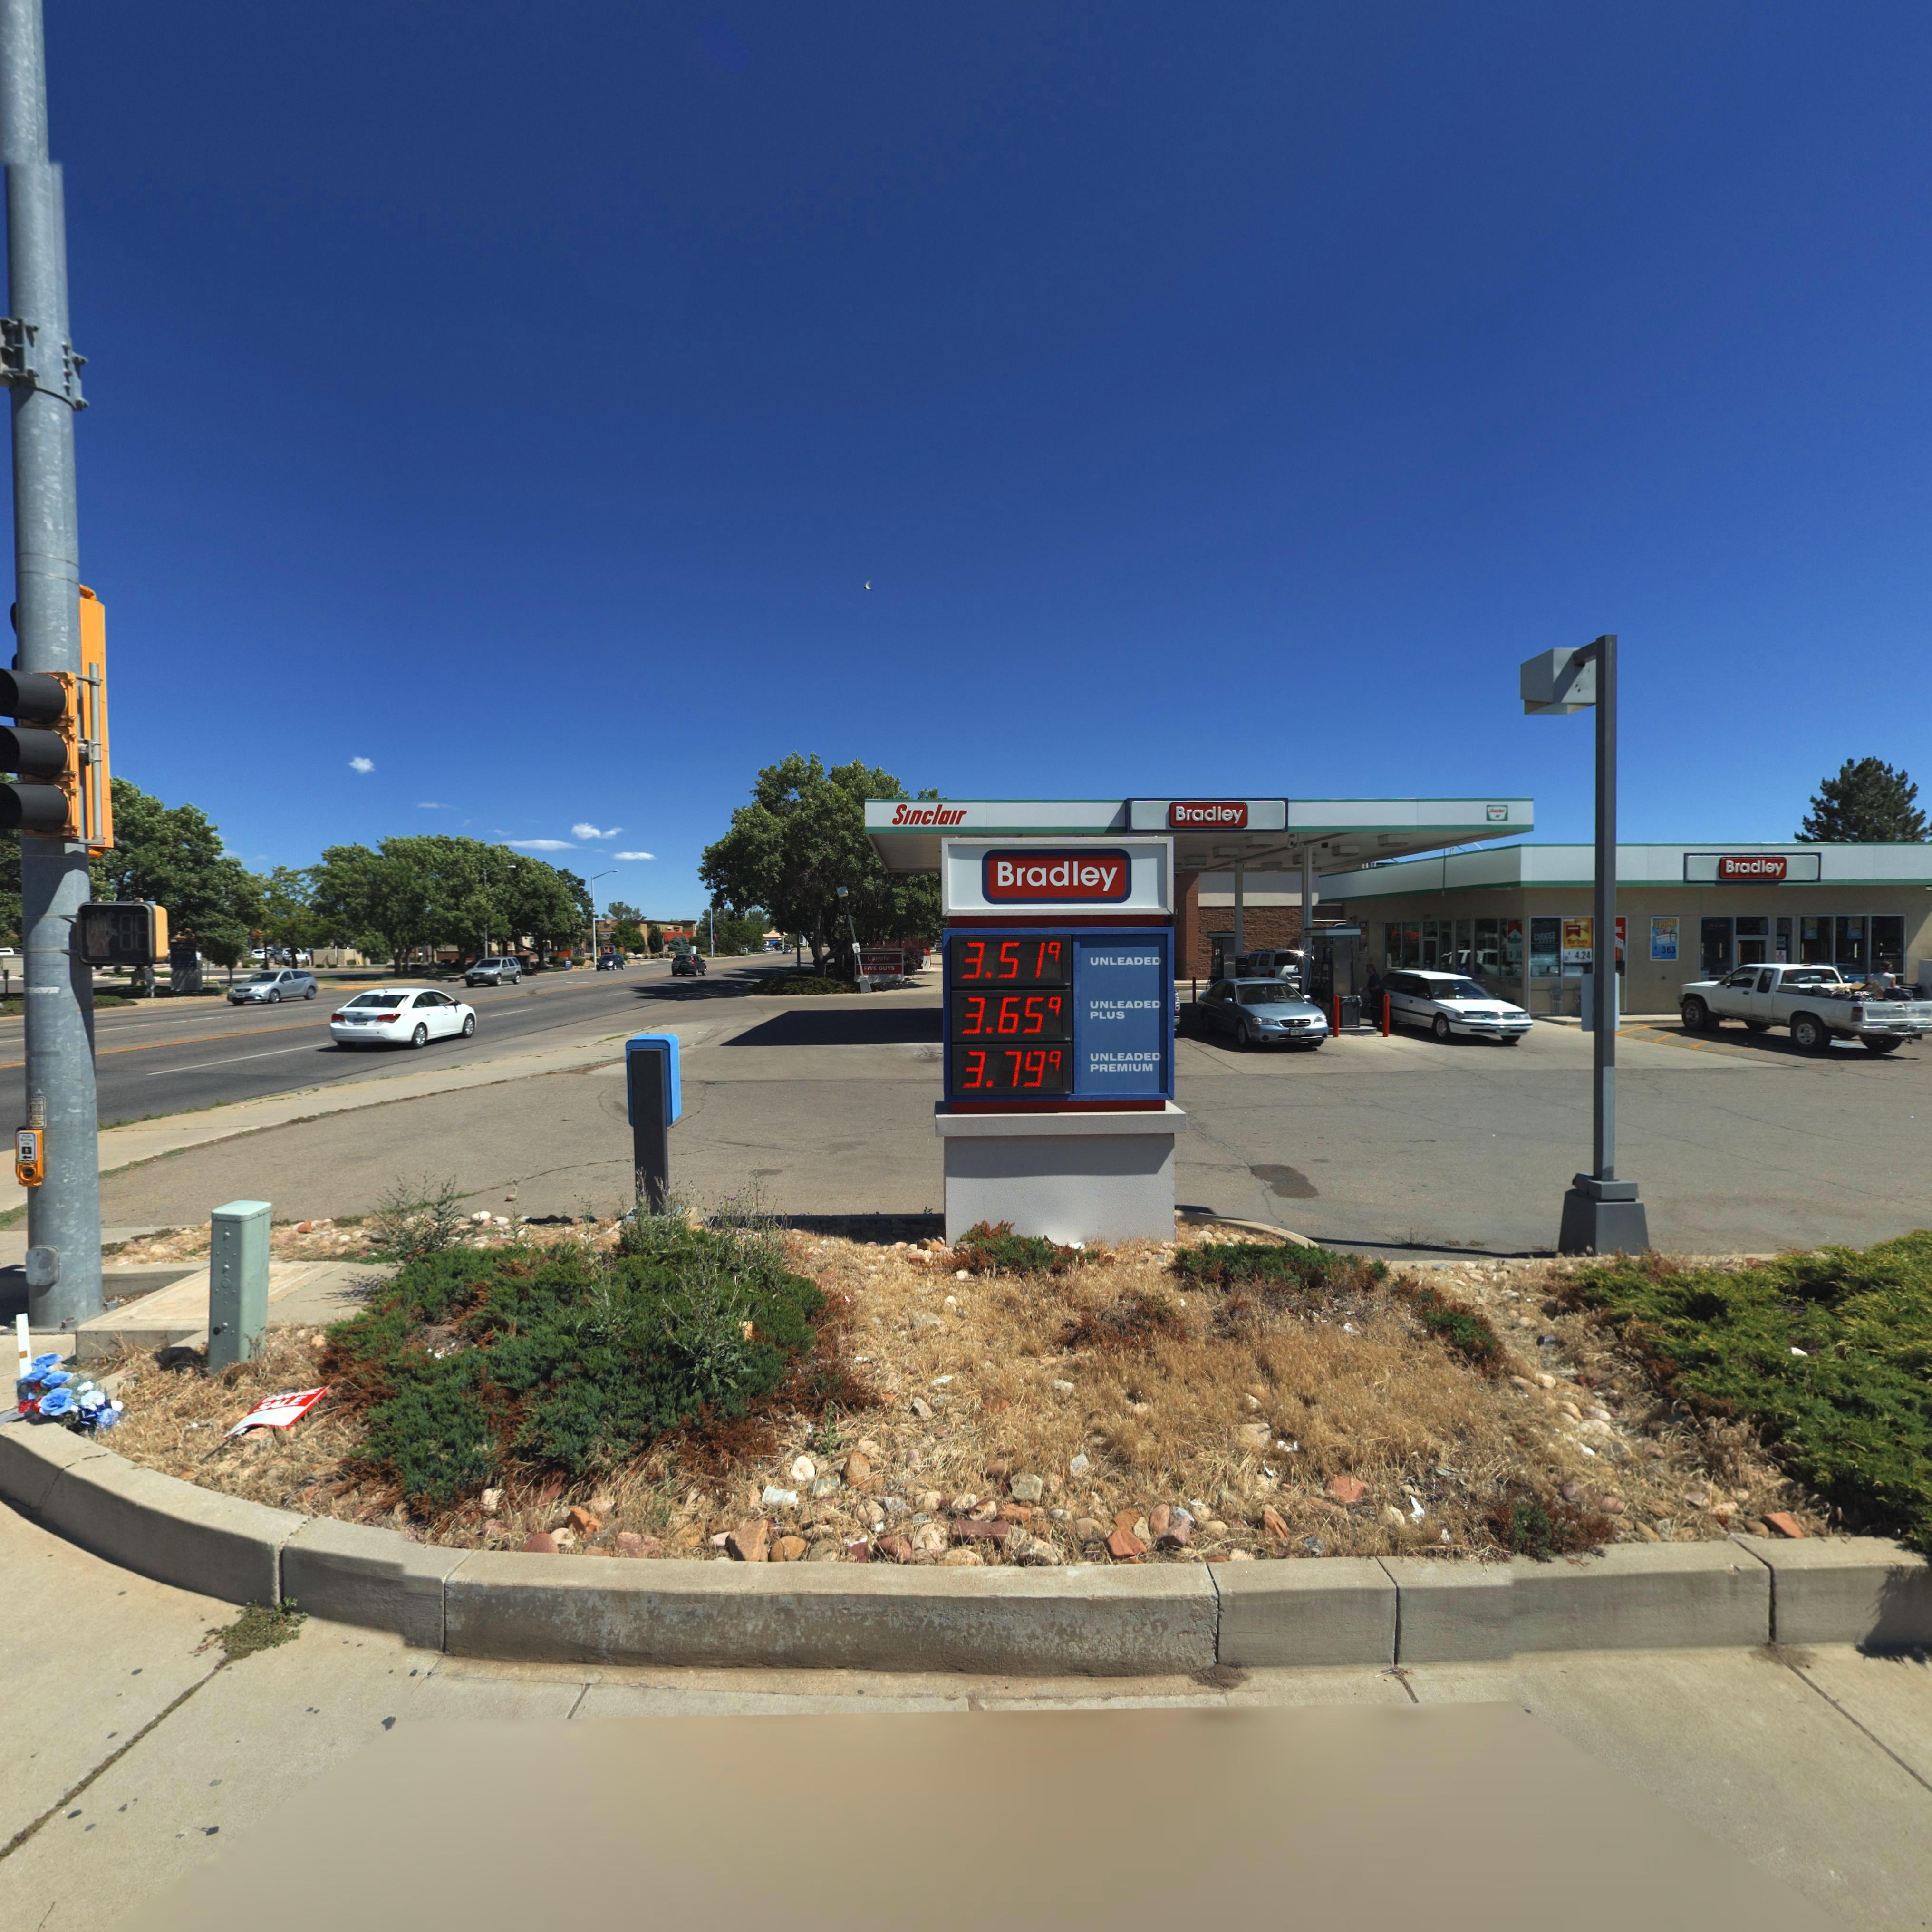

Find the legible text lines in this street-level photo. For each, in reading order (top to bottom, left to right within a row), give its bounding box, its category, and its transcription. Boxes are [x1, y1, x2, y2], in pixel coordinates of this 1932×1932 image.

[891, 803, 967, 826] BusinessName: Sinclair
[1174, 806, 1243, 824] BusinessName: Bradley
[1488, 808, 1505, 812] BusinessName: S*******
[1725, 860, 1784, 876] BusinessName: Bradley
[996, 860, 1119, 892] BusinessName: Bradley
[603, 947, 611, 954] BusinessName: Jack
[867, 954, 890, 962] BusinessName: Chipotle
[863, 966, 895, 970] BusinessName: FIVE GUYS